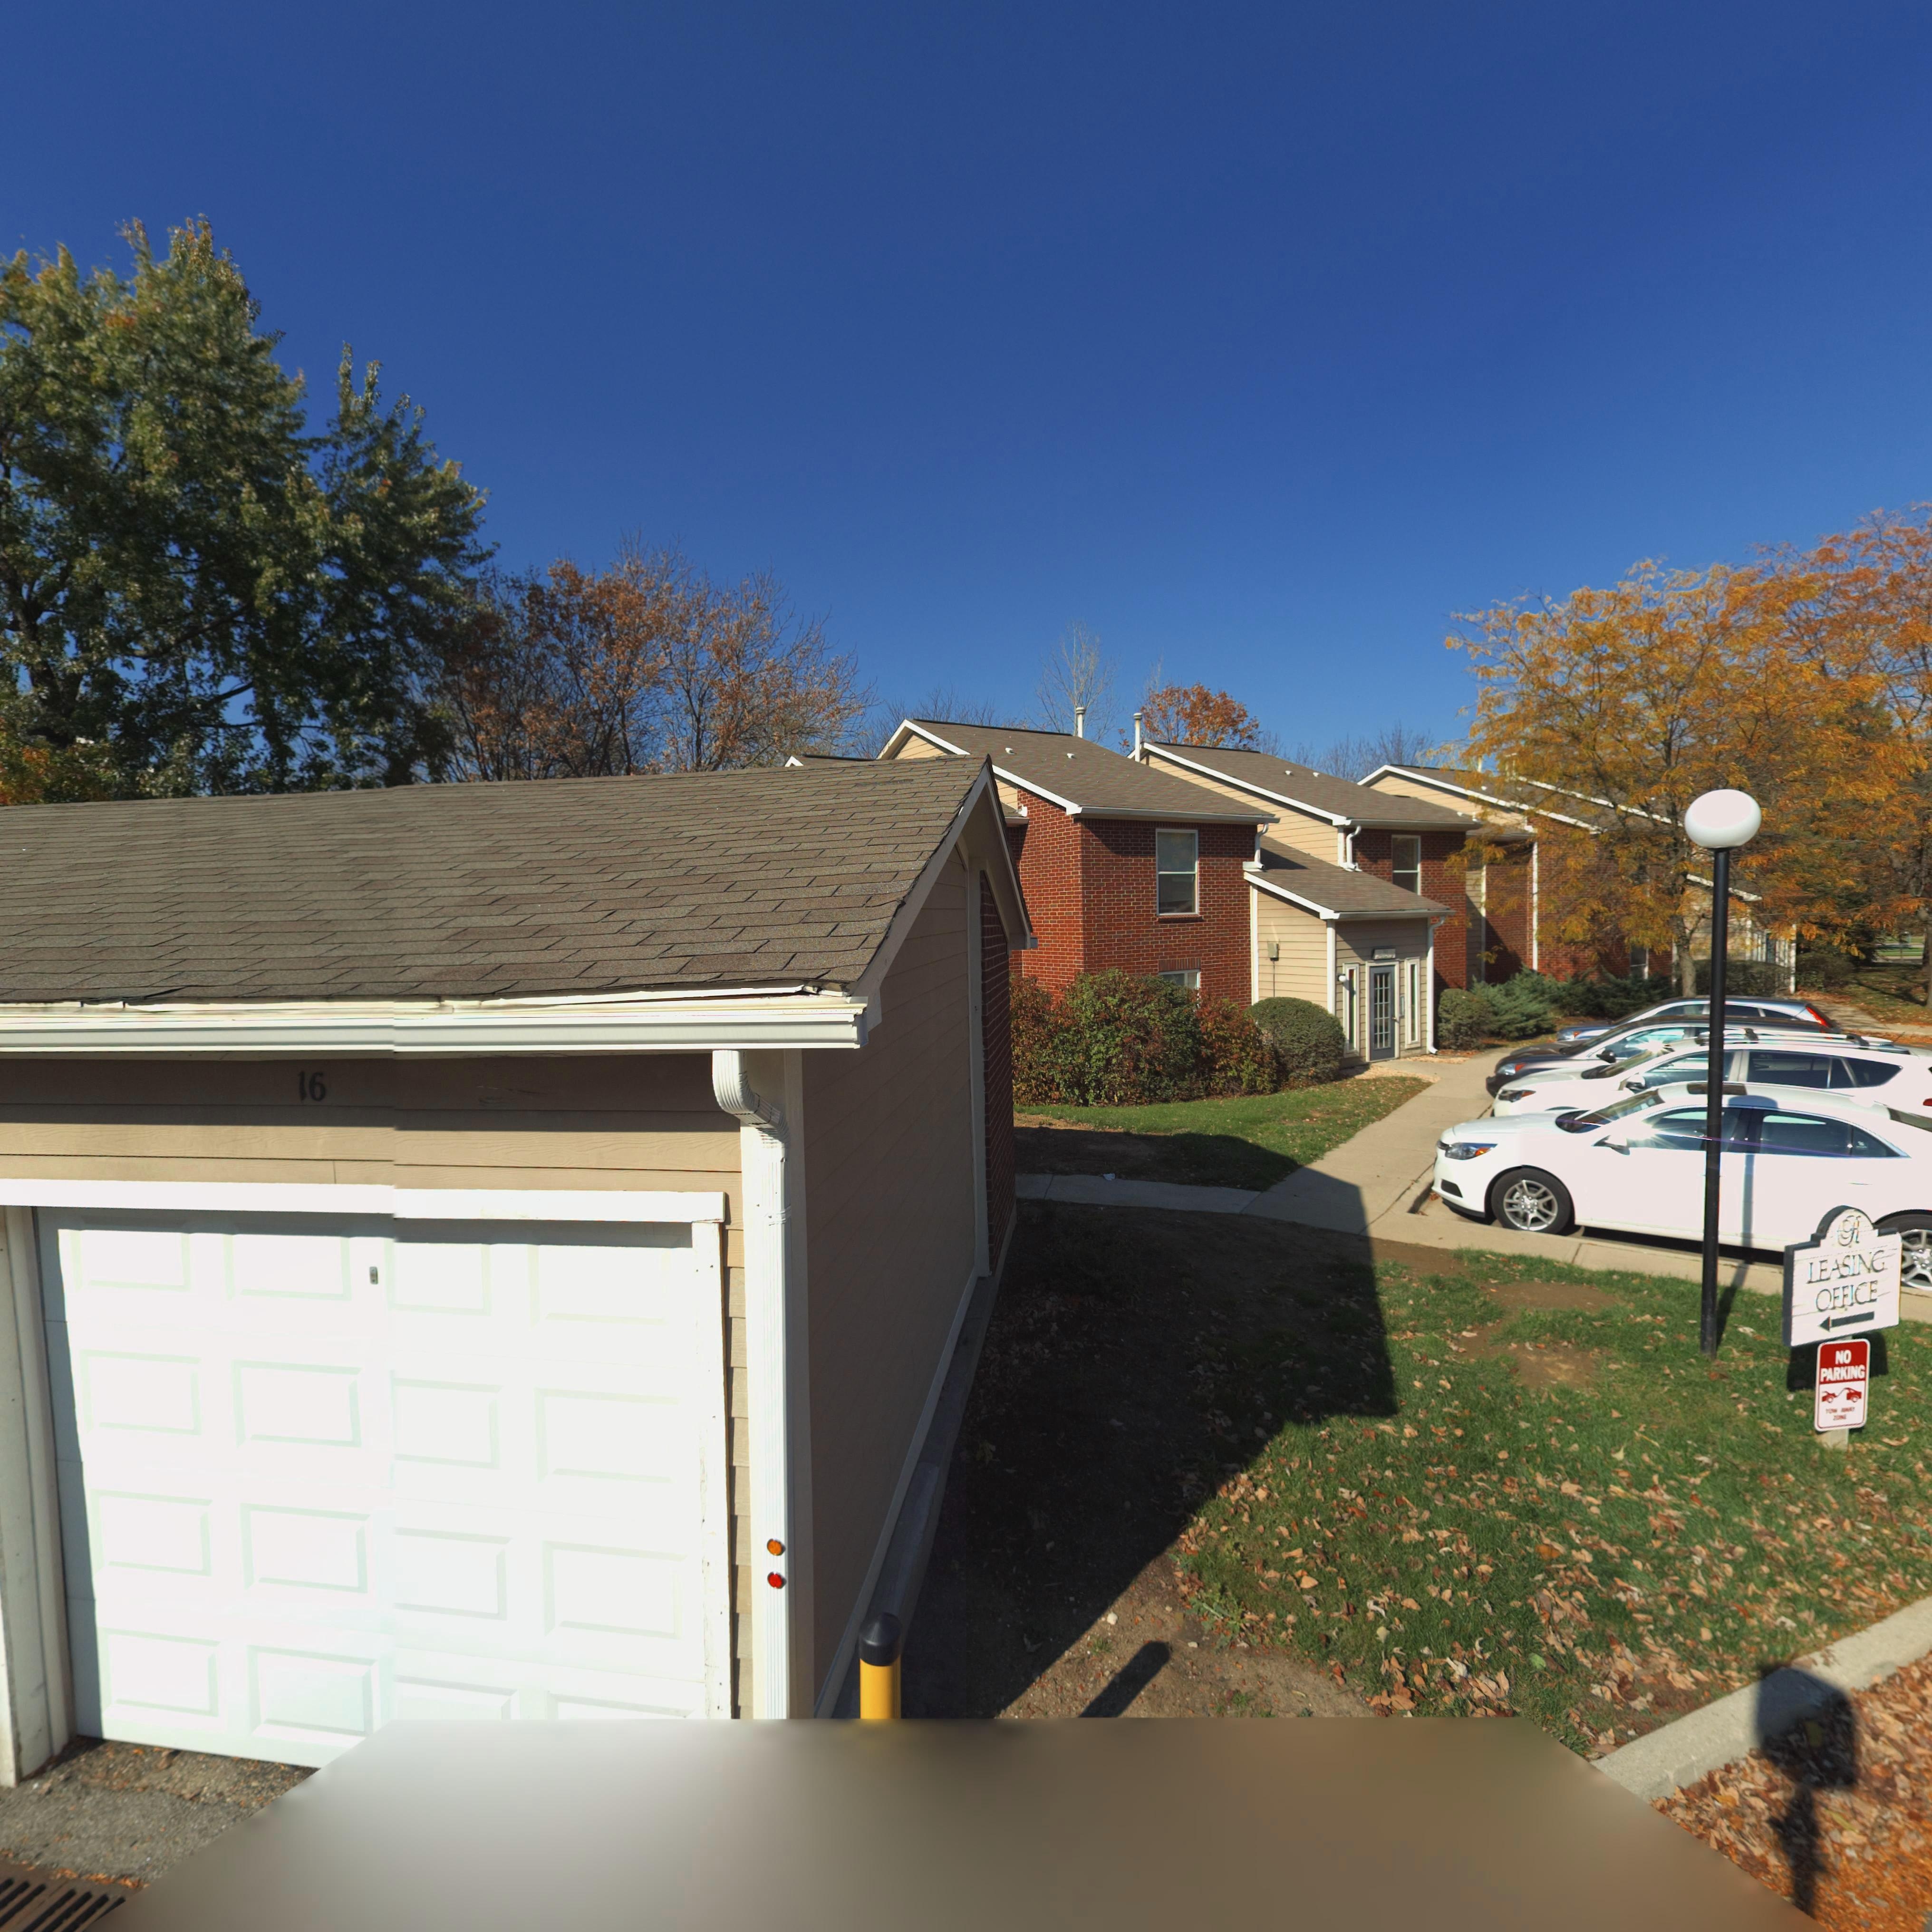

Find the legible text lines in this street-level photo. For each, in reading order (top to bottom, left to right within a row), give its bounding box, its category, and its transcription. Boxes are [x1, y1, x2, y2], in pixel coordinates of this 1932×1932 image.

[292, 1062, 335, 1107] StreetNumber: 16
[1803, 1246, 1889, 1288] None: LEASING
[1812, 1277, 1881, 1316] None: OFFICE
[1818, 1362, 1867, 1385] None: PARKING
[1833, 1347, 1854, 1367] None: NO